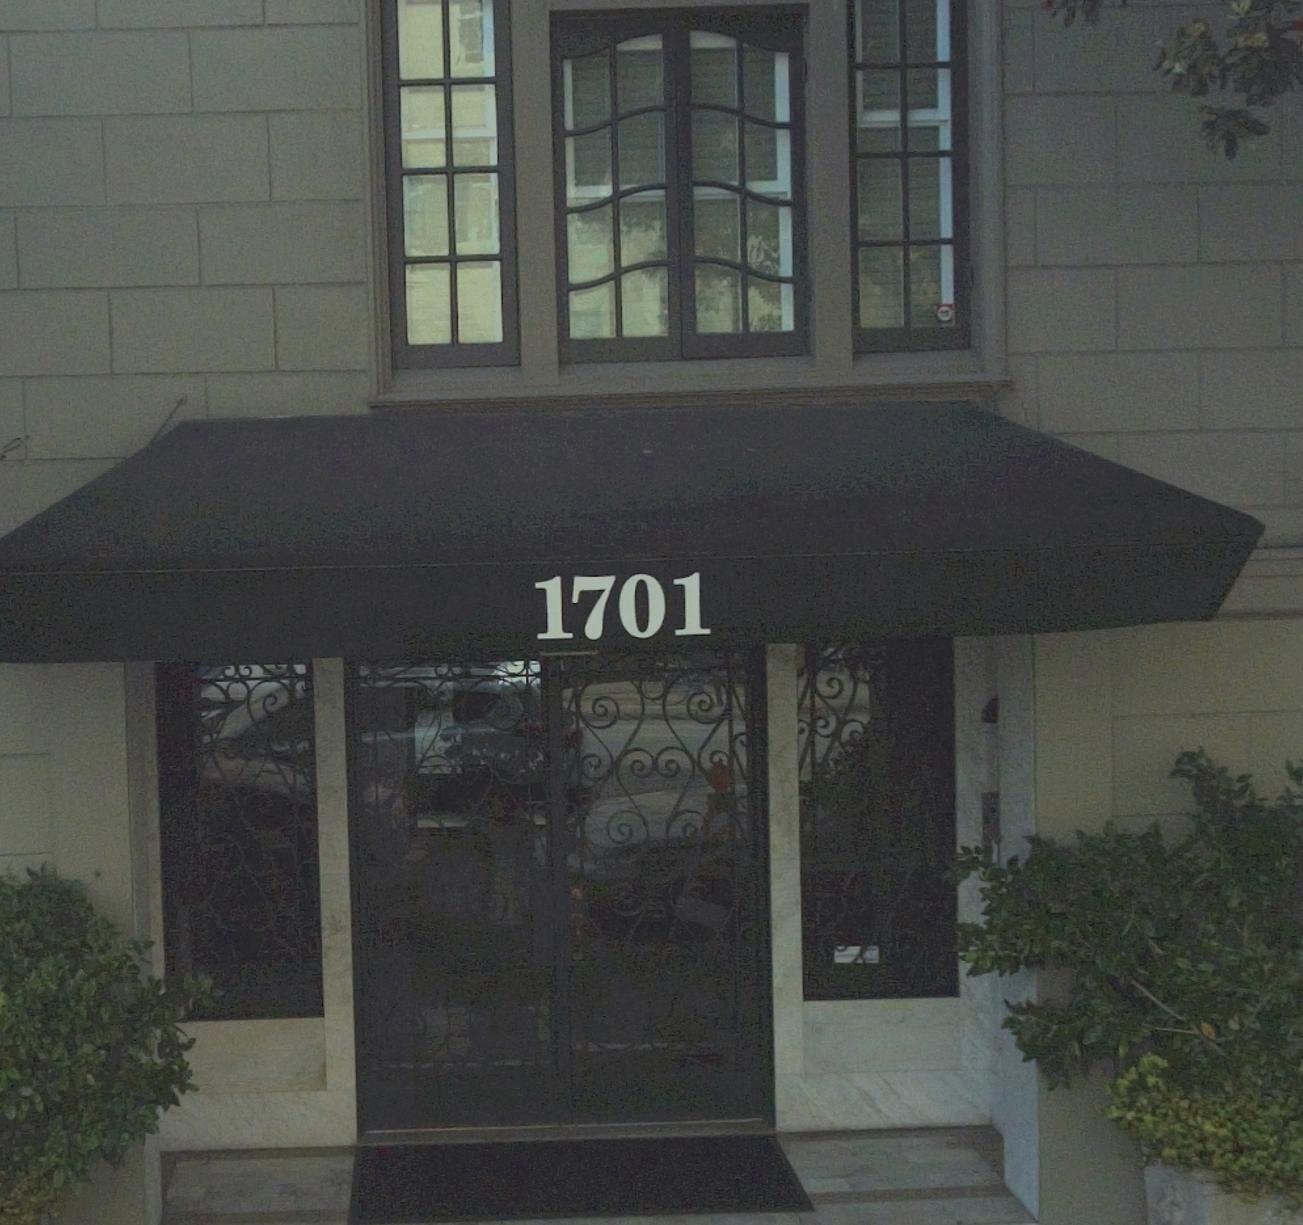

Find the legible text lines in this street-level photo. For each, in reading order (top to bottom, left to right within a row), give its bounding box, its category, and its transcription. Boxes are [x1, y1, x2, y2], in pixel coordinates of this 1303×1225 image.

[531, 568, 715, 643] StreetNumber: 1701